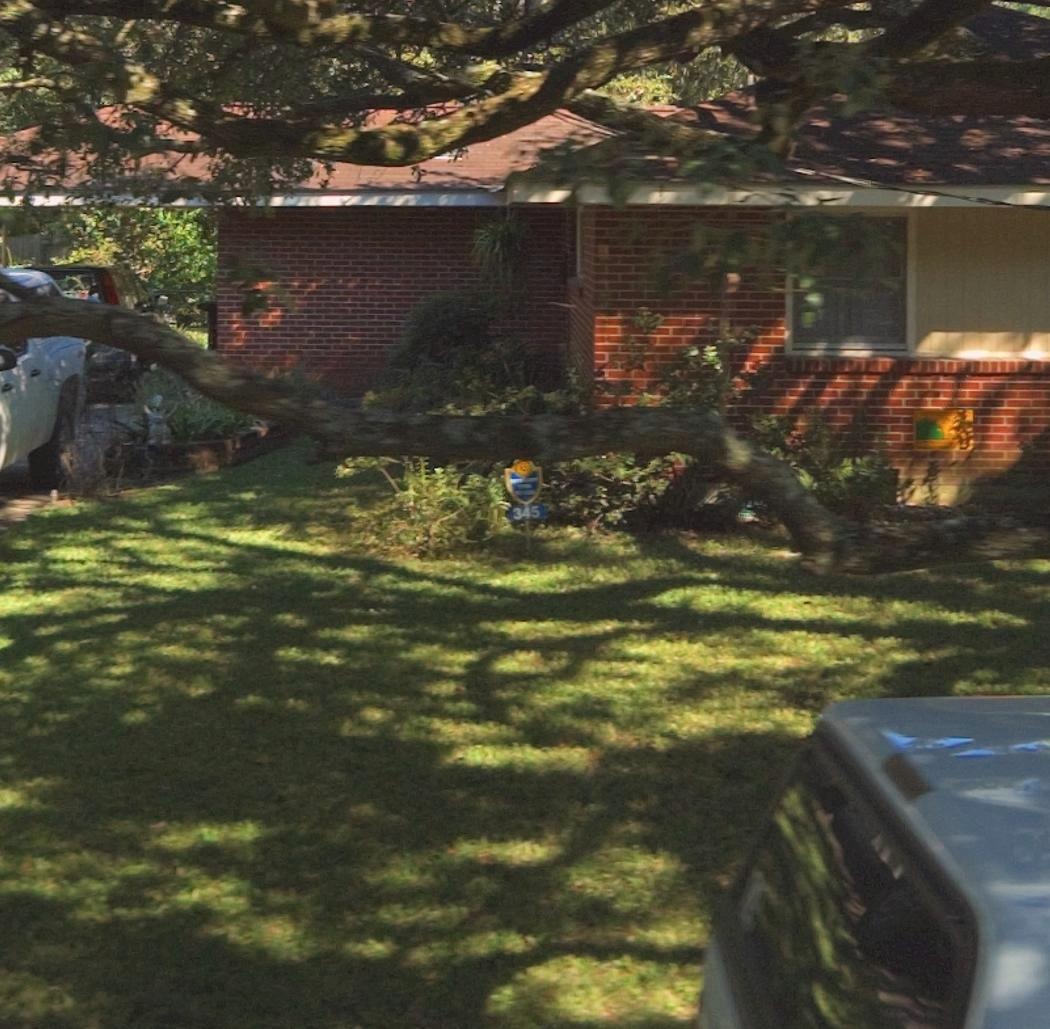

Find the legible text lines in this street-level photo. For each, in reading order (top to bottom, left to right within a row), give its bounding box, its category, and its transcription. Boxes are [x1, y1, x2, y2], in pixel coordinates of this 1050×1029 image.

[512, 505, 542, 522] StreetNumber: 345